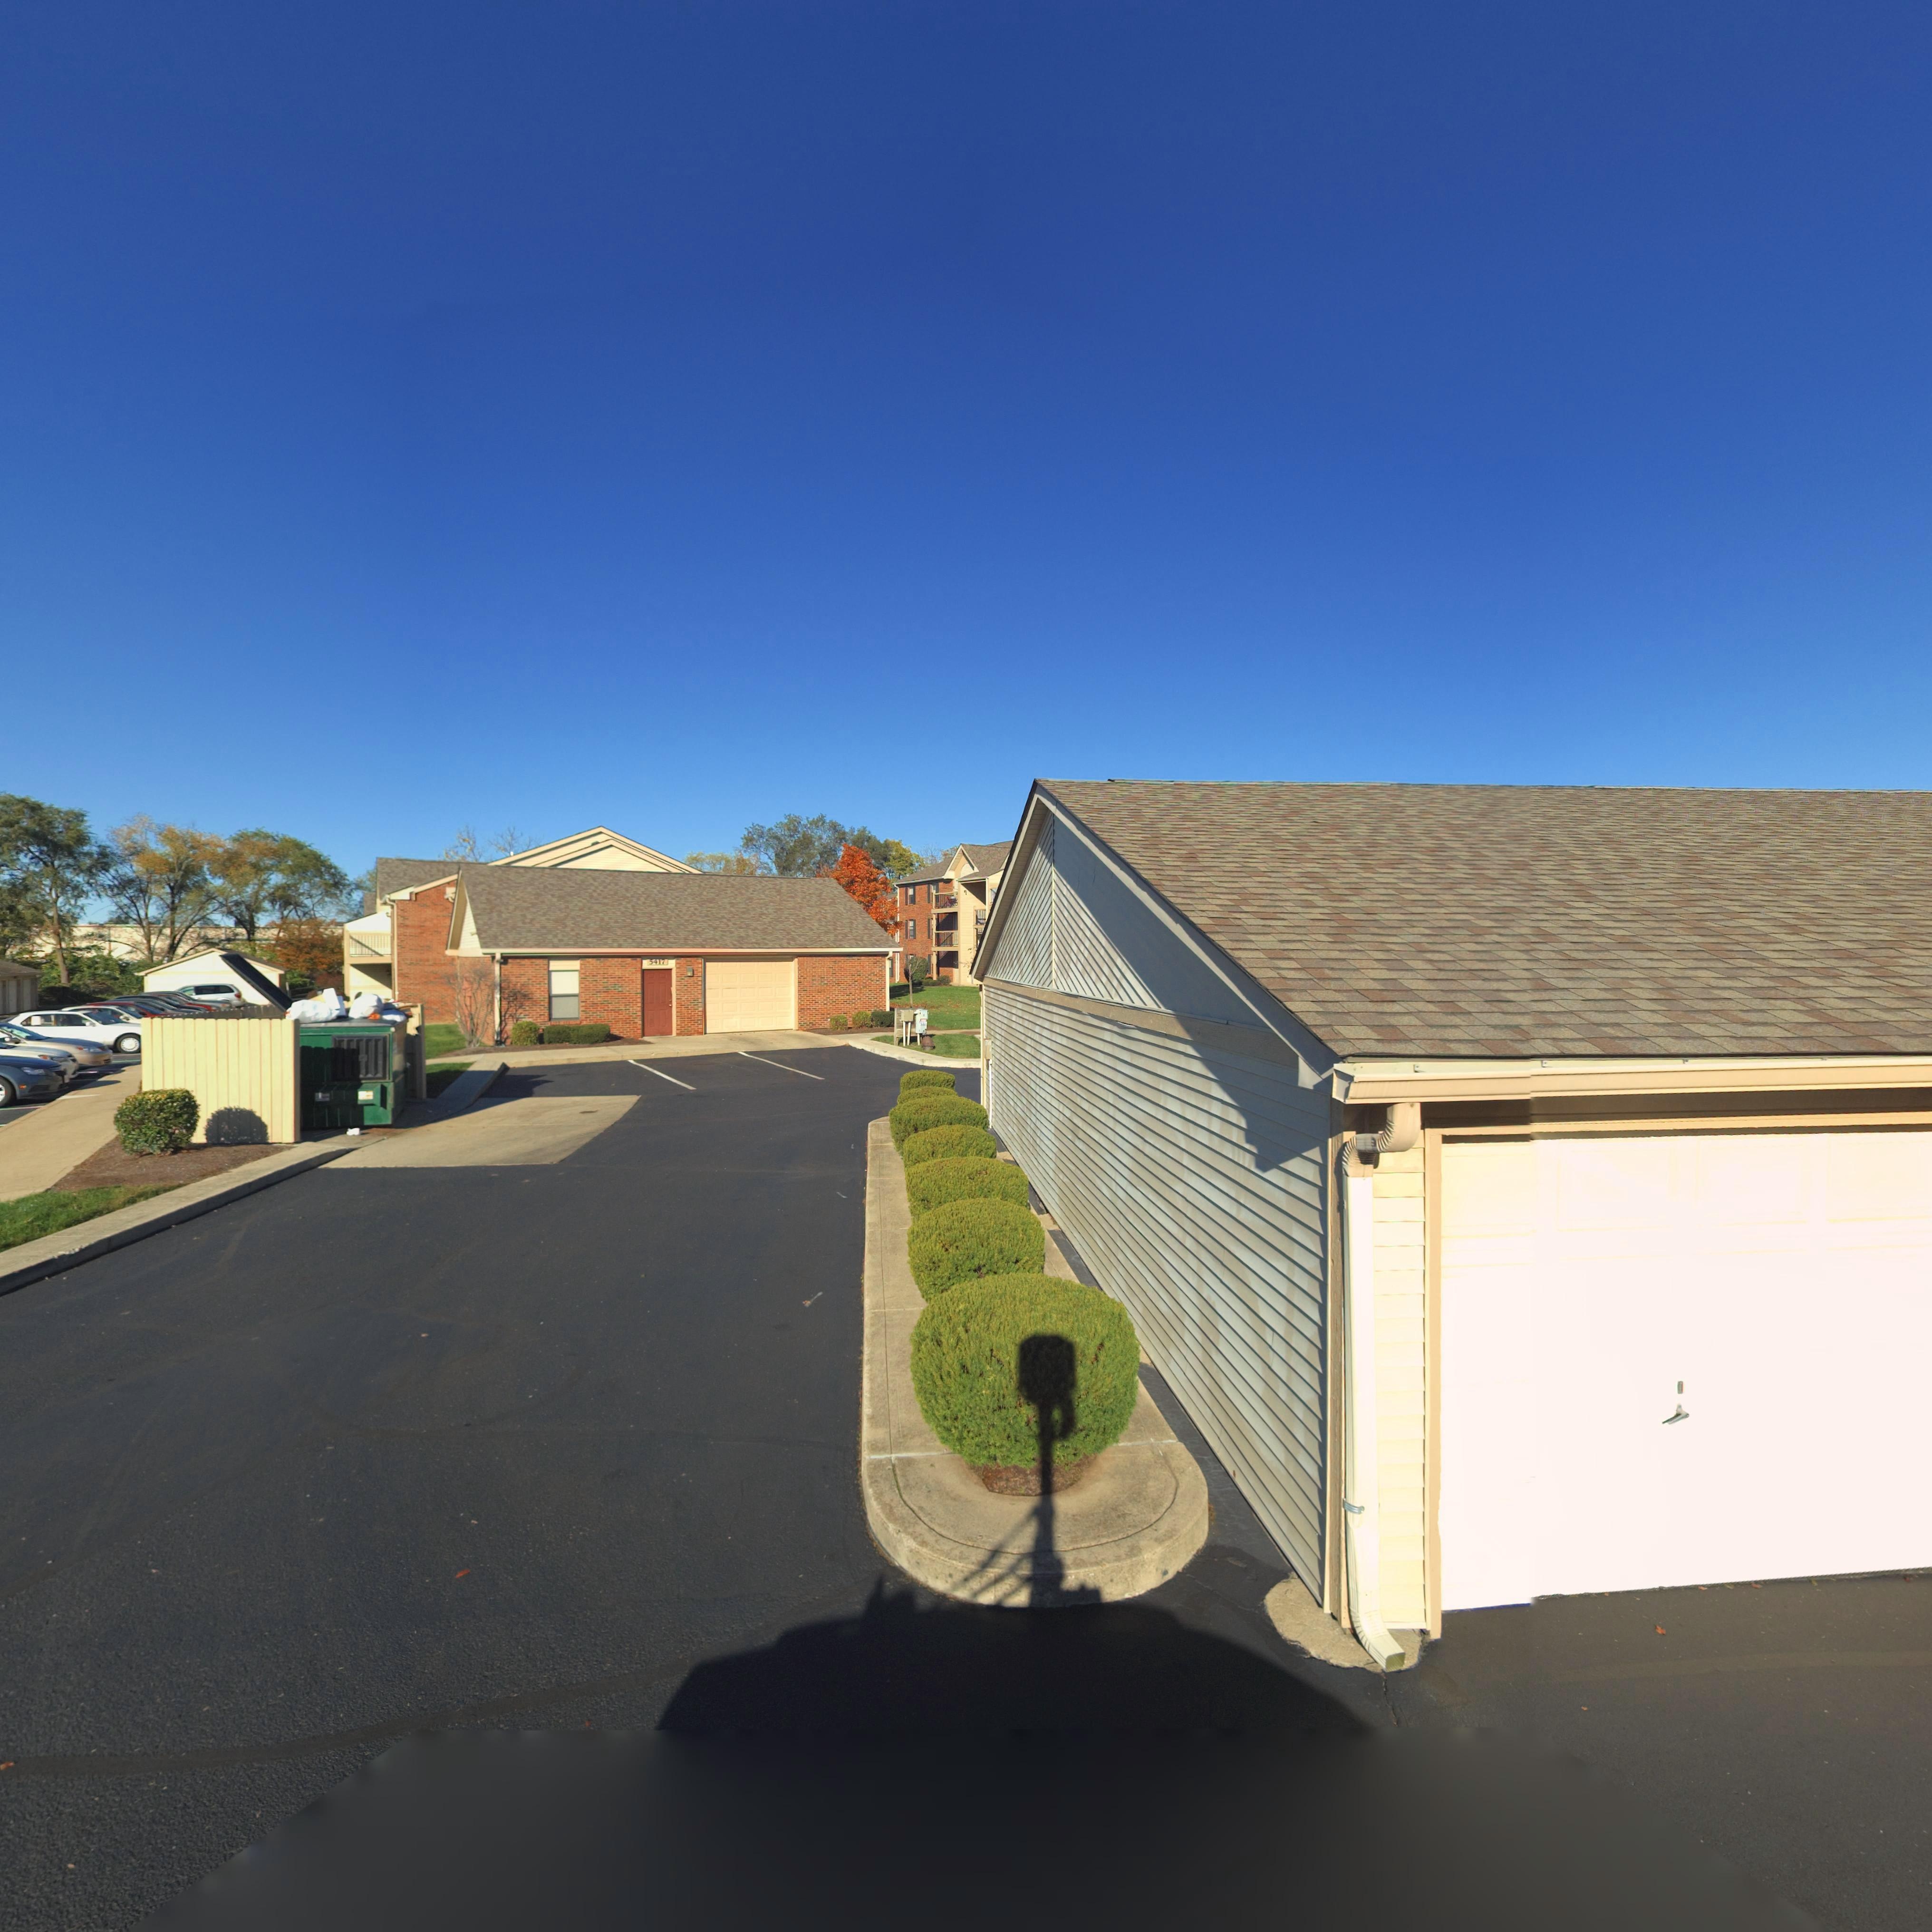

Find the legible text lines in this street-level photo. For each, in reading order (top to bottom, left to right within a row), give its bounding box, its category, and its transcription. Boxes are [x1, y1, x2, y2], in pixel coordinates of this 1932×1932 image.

[648, 958, 666, 965] StreetNumber: 5417